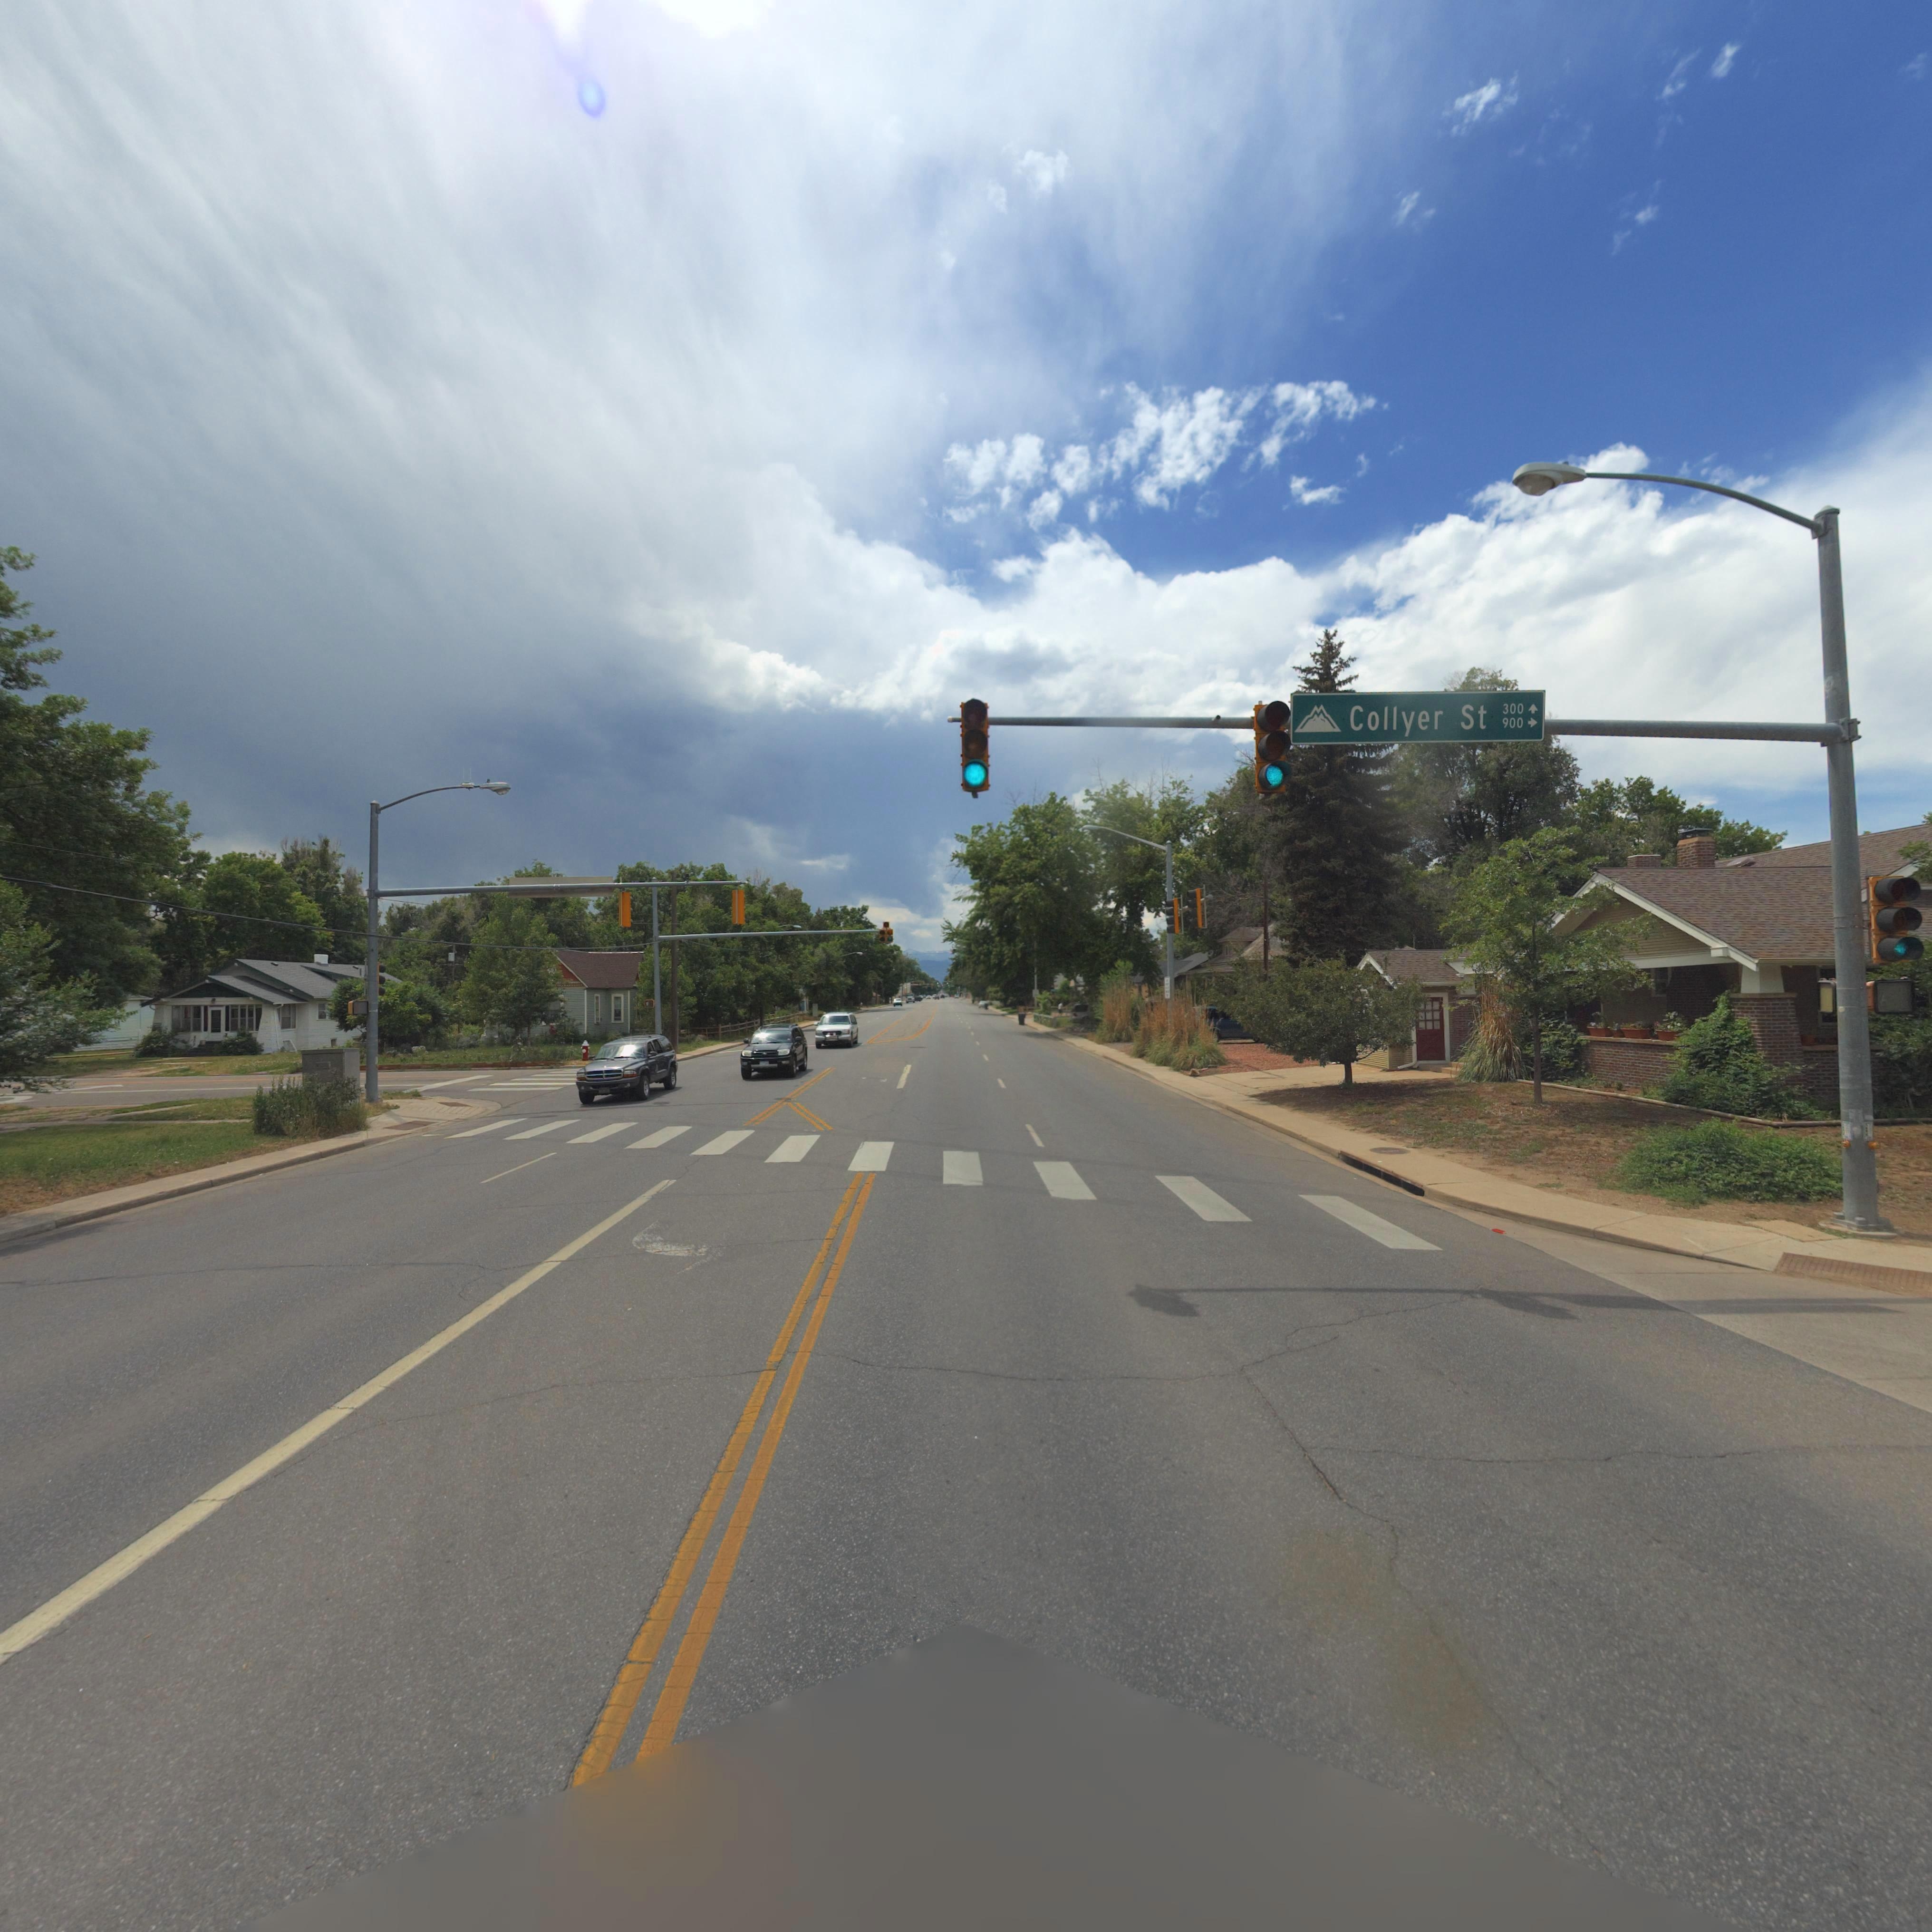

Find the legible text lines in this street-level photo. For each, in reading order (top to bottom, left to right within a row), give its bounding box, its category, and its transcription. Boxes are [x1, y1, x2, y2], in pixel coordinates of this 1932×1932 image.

[1502, 703, 1524, 715] StreetNumberRange: 300
[1348, 704, 1487, 738] StreetName: Collyer St
[1502, 717, 1538, 728] StreetNumberRange: 900->